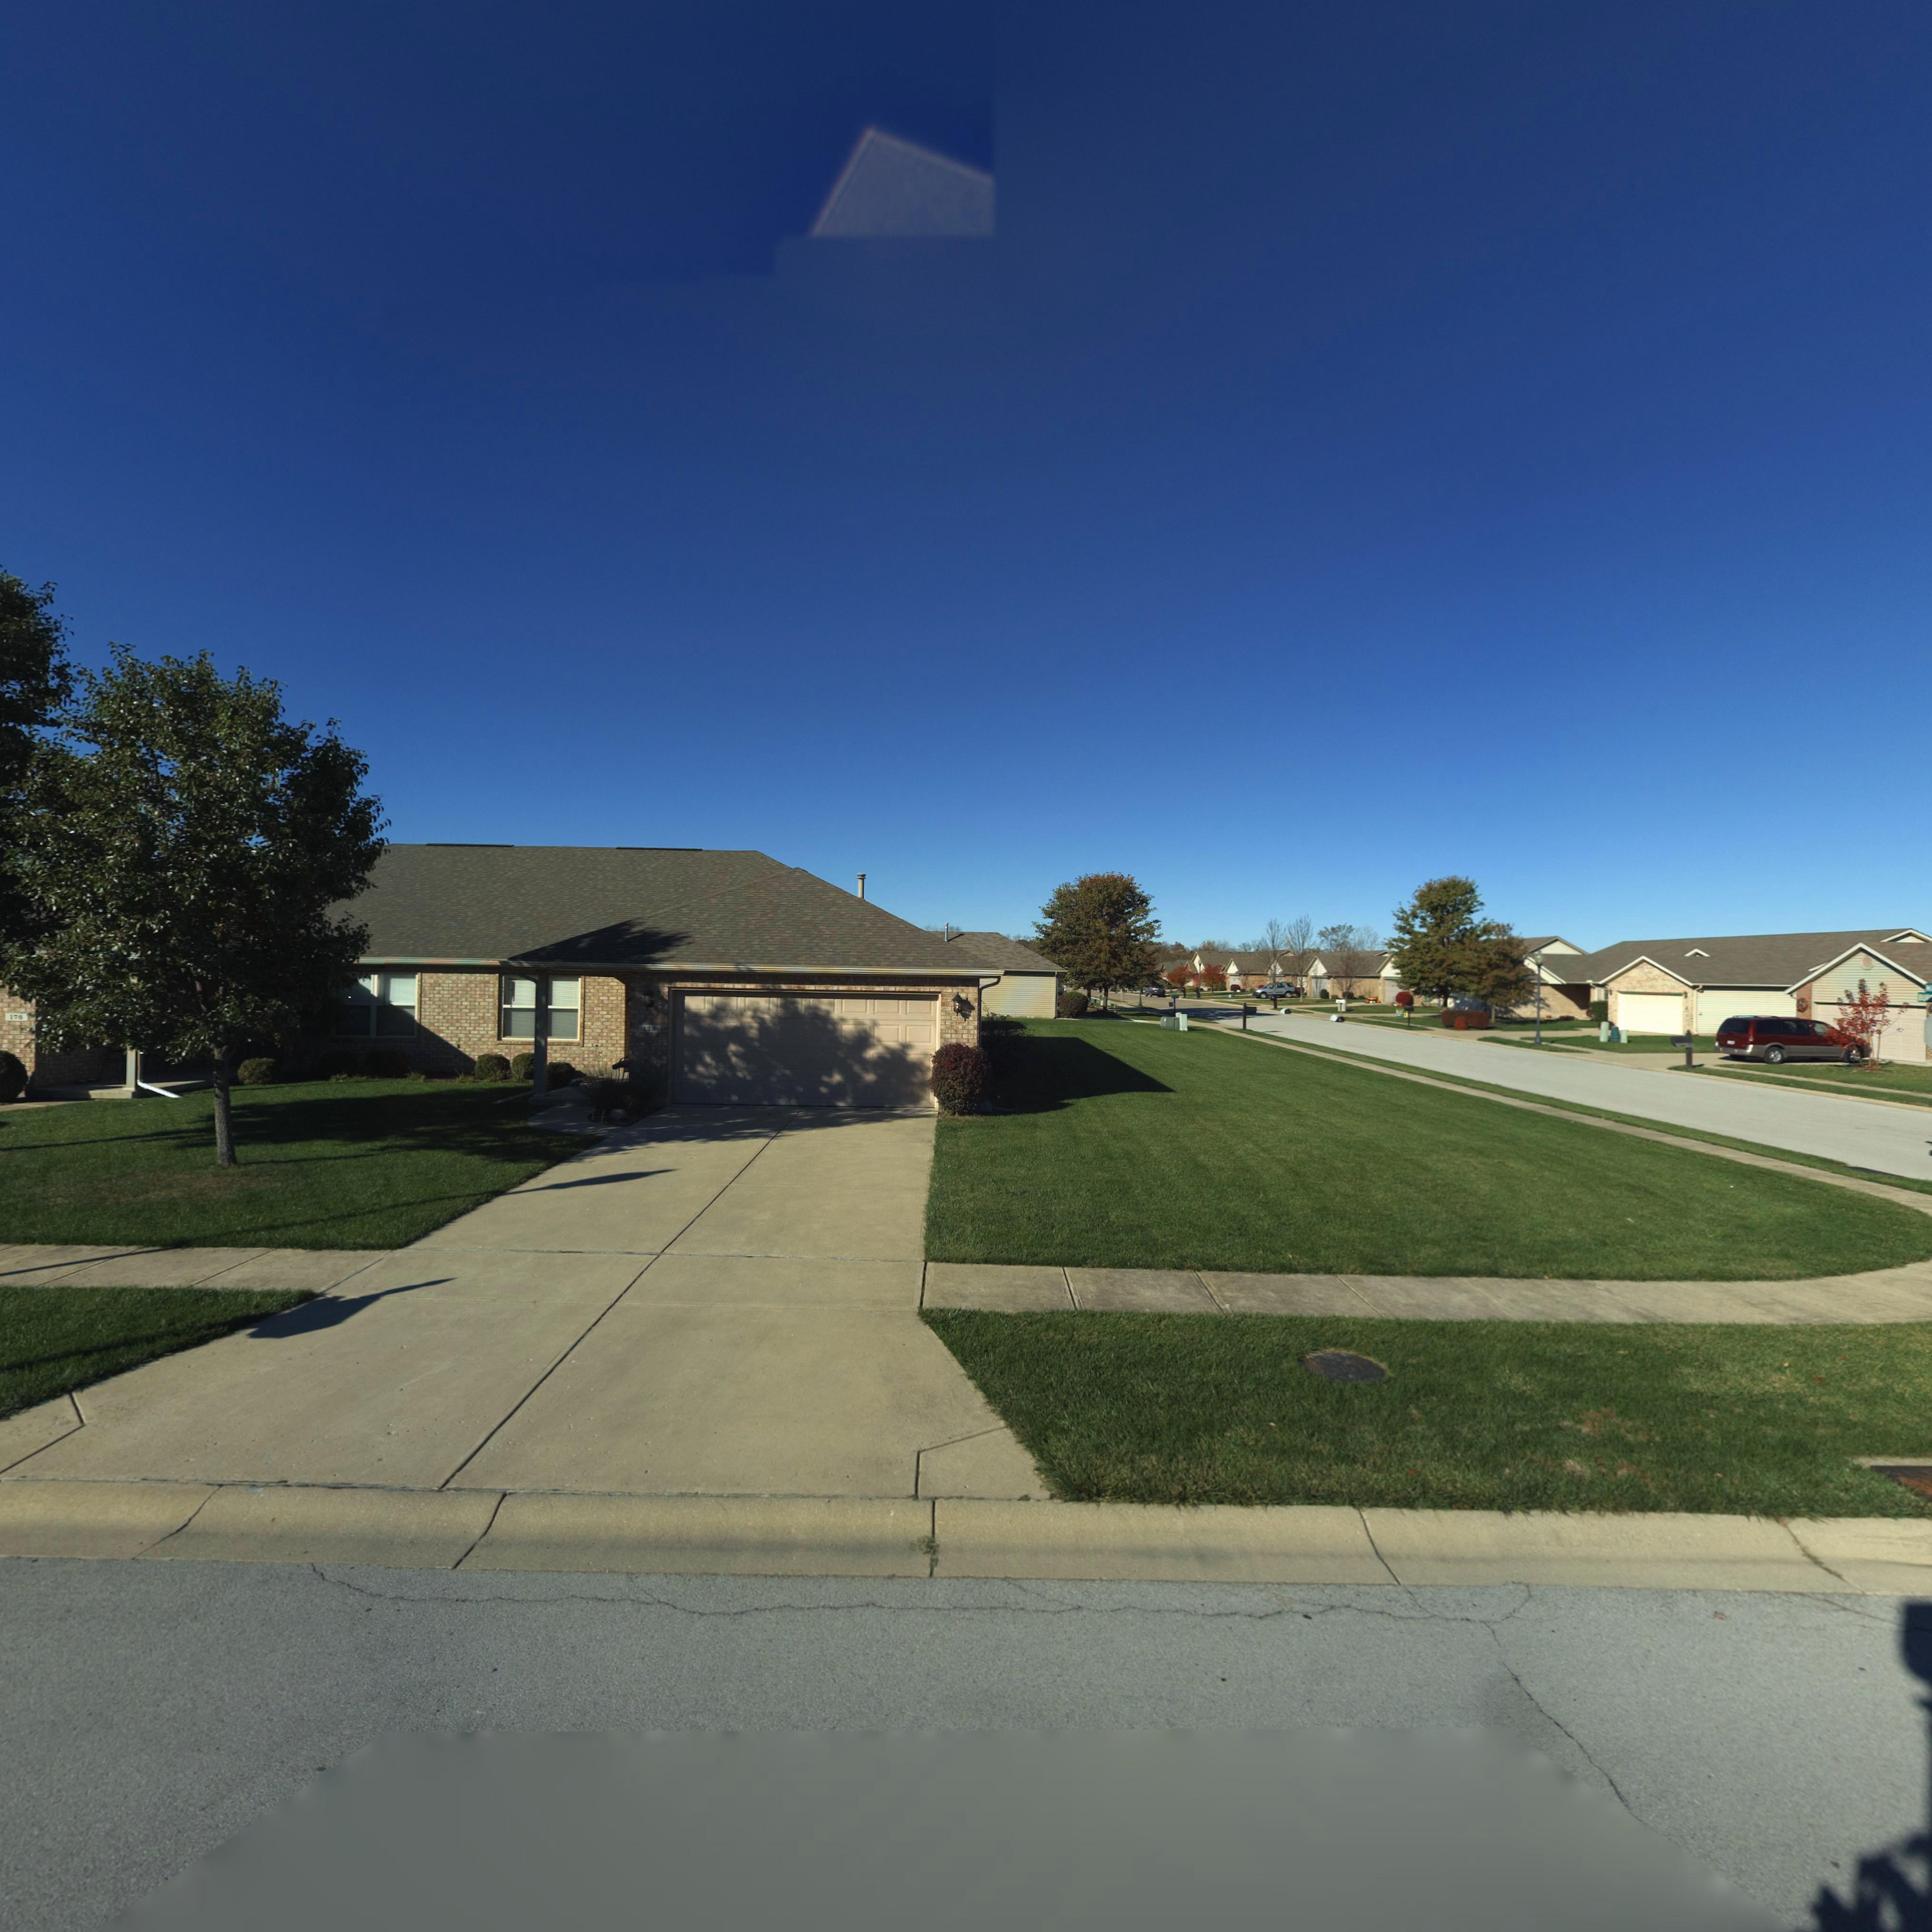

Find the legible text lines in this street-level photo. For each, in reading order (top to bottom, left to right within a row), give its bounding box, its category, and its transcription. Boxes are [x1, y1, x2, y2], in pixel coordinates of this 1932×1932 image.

[643, 1025, 657, 1032] StreetNumber: 178